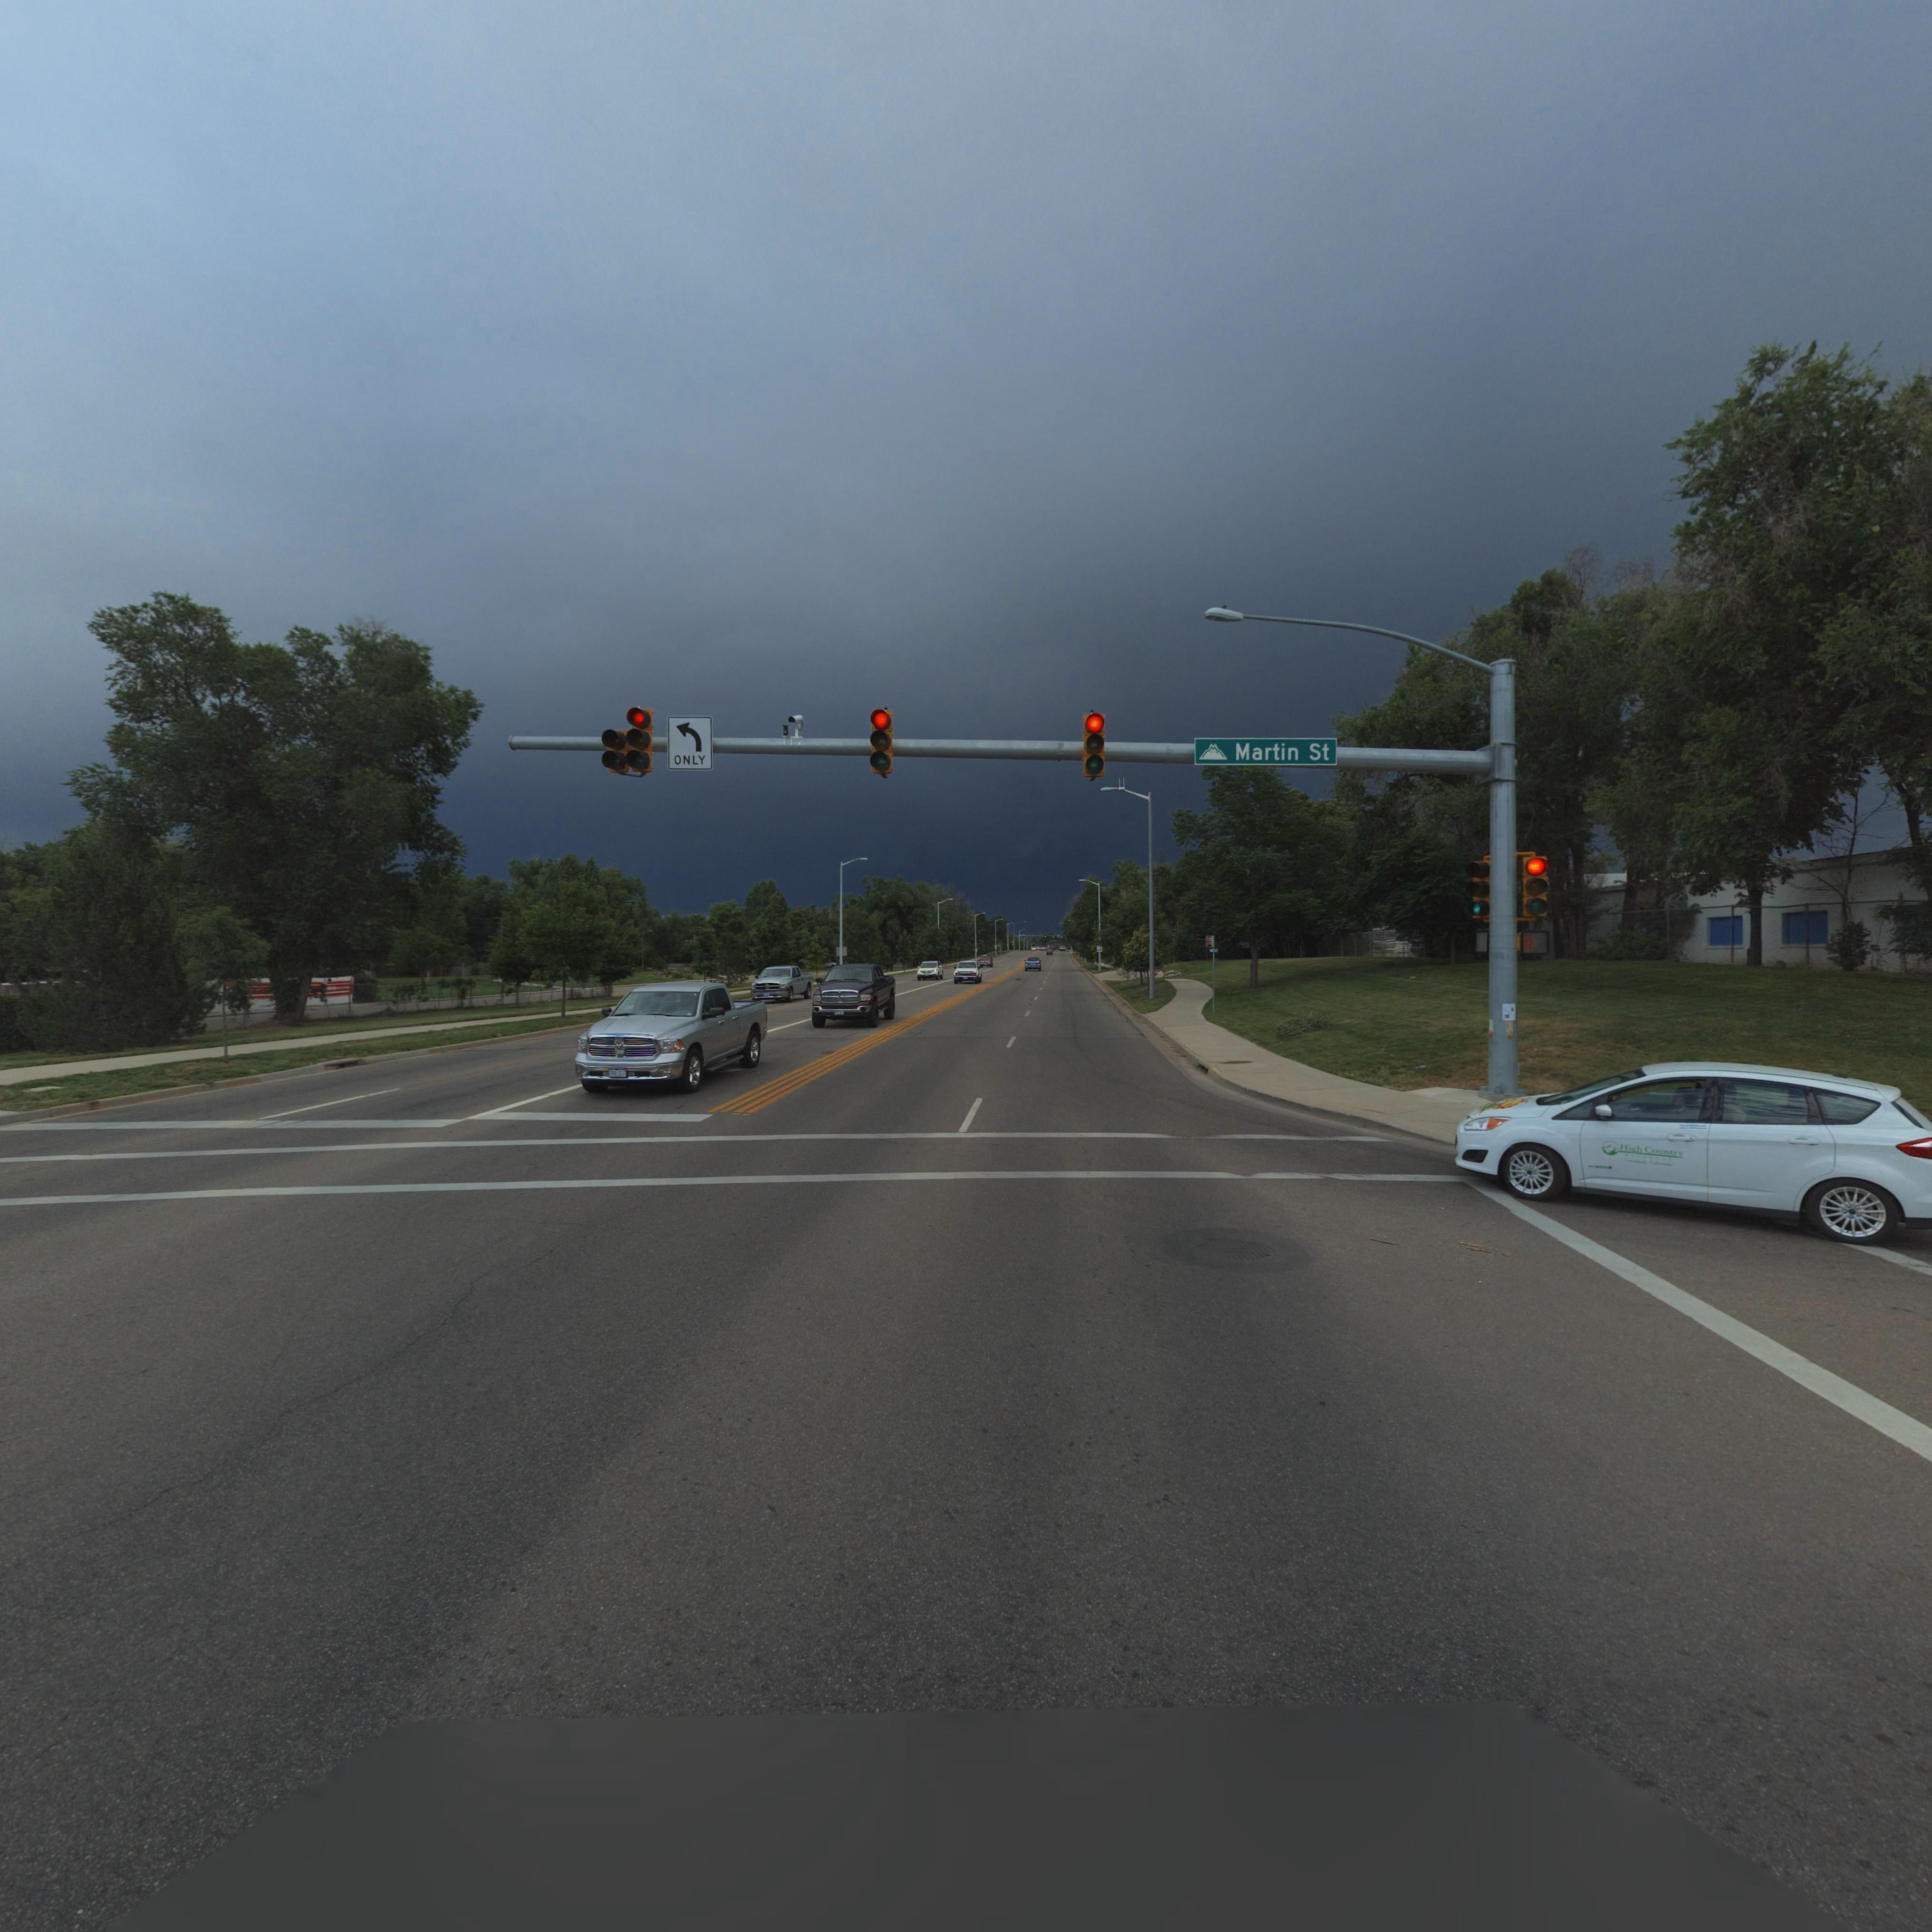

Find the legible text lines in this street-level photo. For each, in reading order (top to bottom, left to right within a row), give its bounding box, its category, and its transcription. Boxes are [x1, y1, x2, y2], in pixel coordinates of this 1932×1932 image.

[1235, 742, 1330, 761] StreetName: Martin St